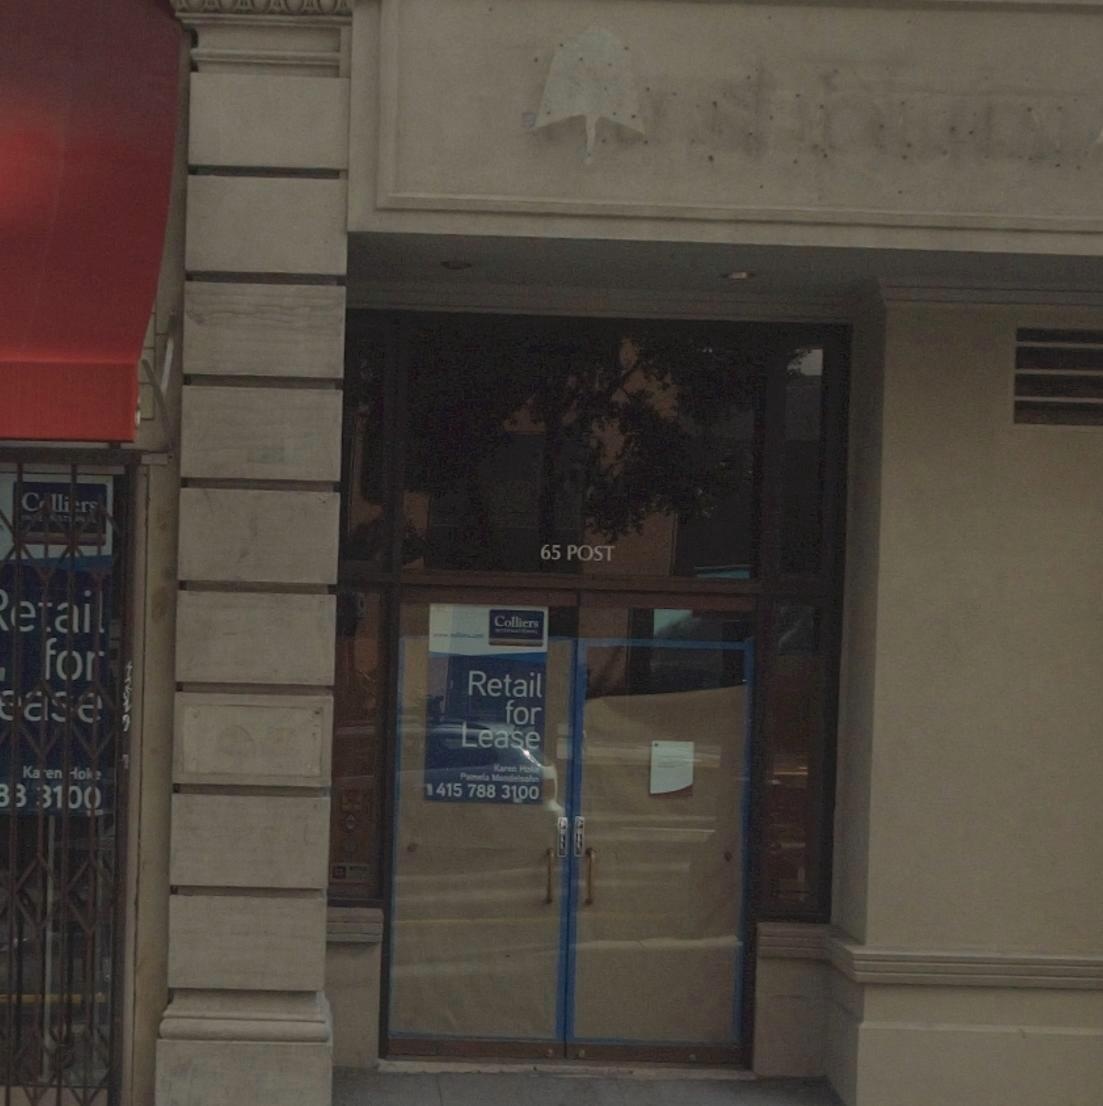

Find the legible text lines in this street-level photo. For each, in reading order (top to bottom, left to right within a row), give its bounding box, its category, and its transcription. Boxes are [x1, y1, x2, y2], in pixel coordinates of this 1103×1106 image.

[540, 543, 562, 561] StreetNumber: 65
[566, 544, 617, 562] StreetName: POST
[491, 615, 541, 627] None: Colliers
[466, 669, 542, 699] None: Retail
[504, 697, 545, 725] None: for
[460, 719, 542, 750] None: Lease
[433, 780, 541, 800] None: 415 788 3100